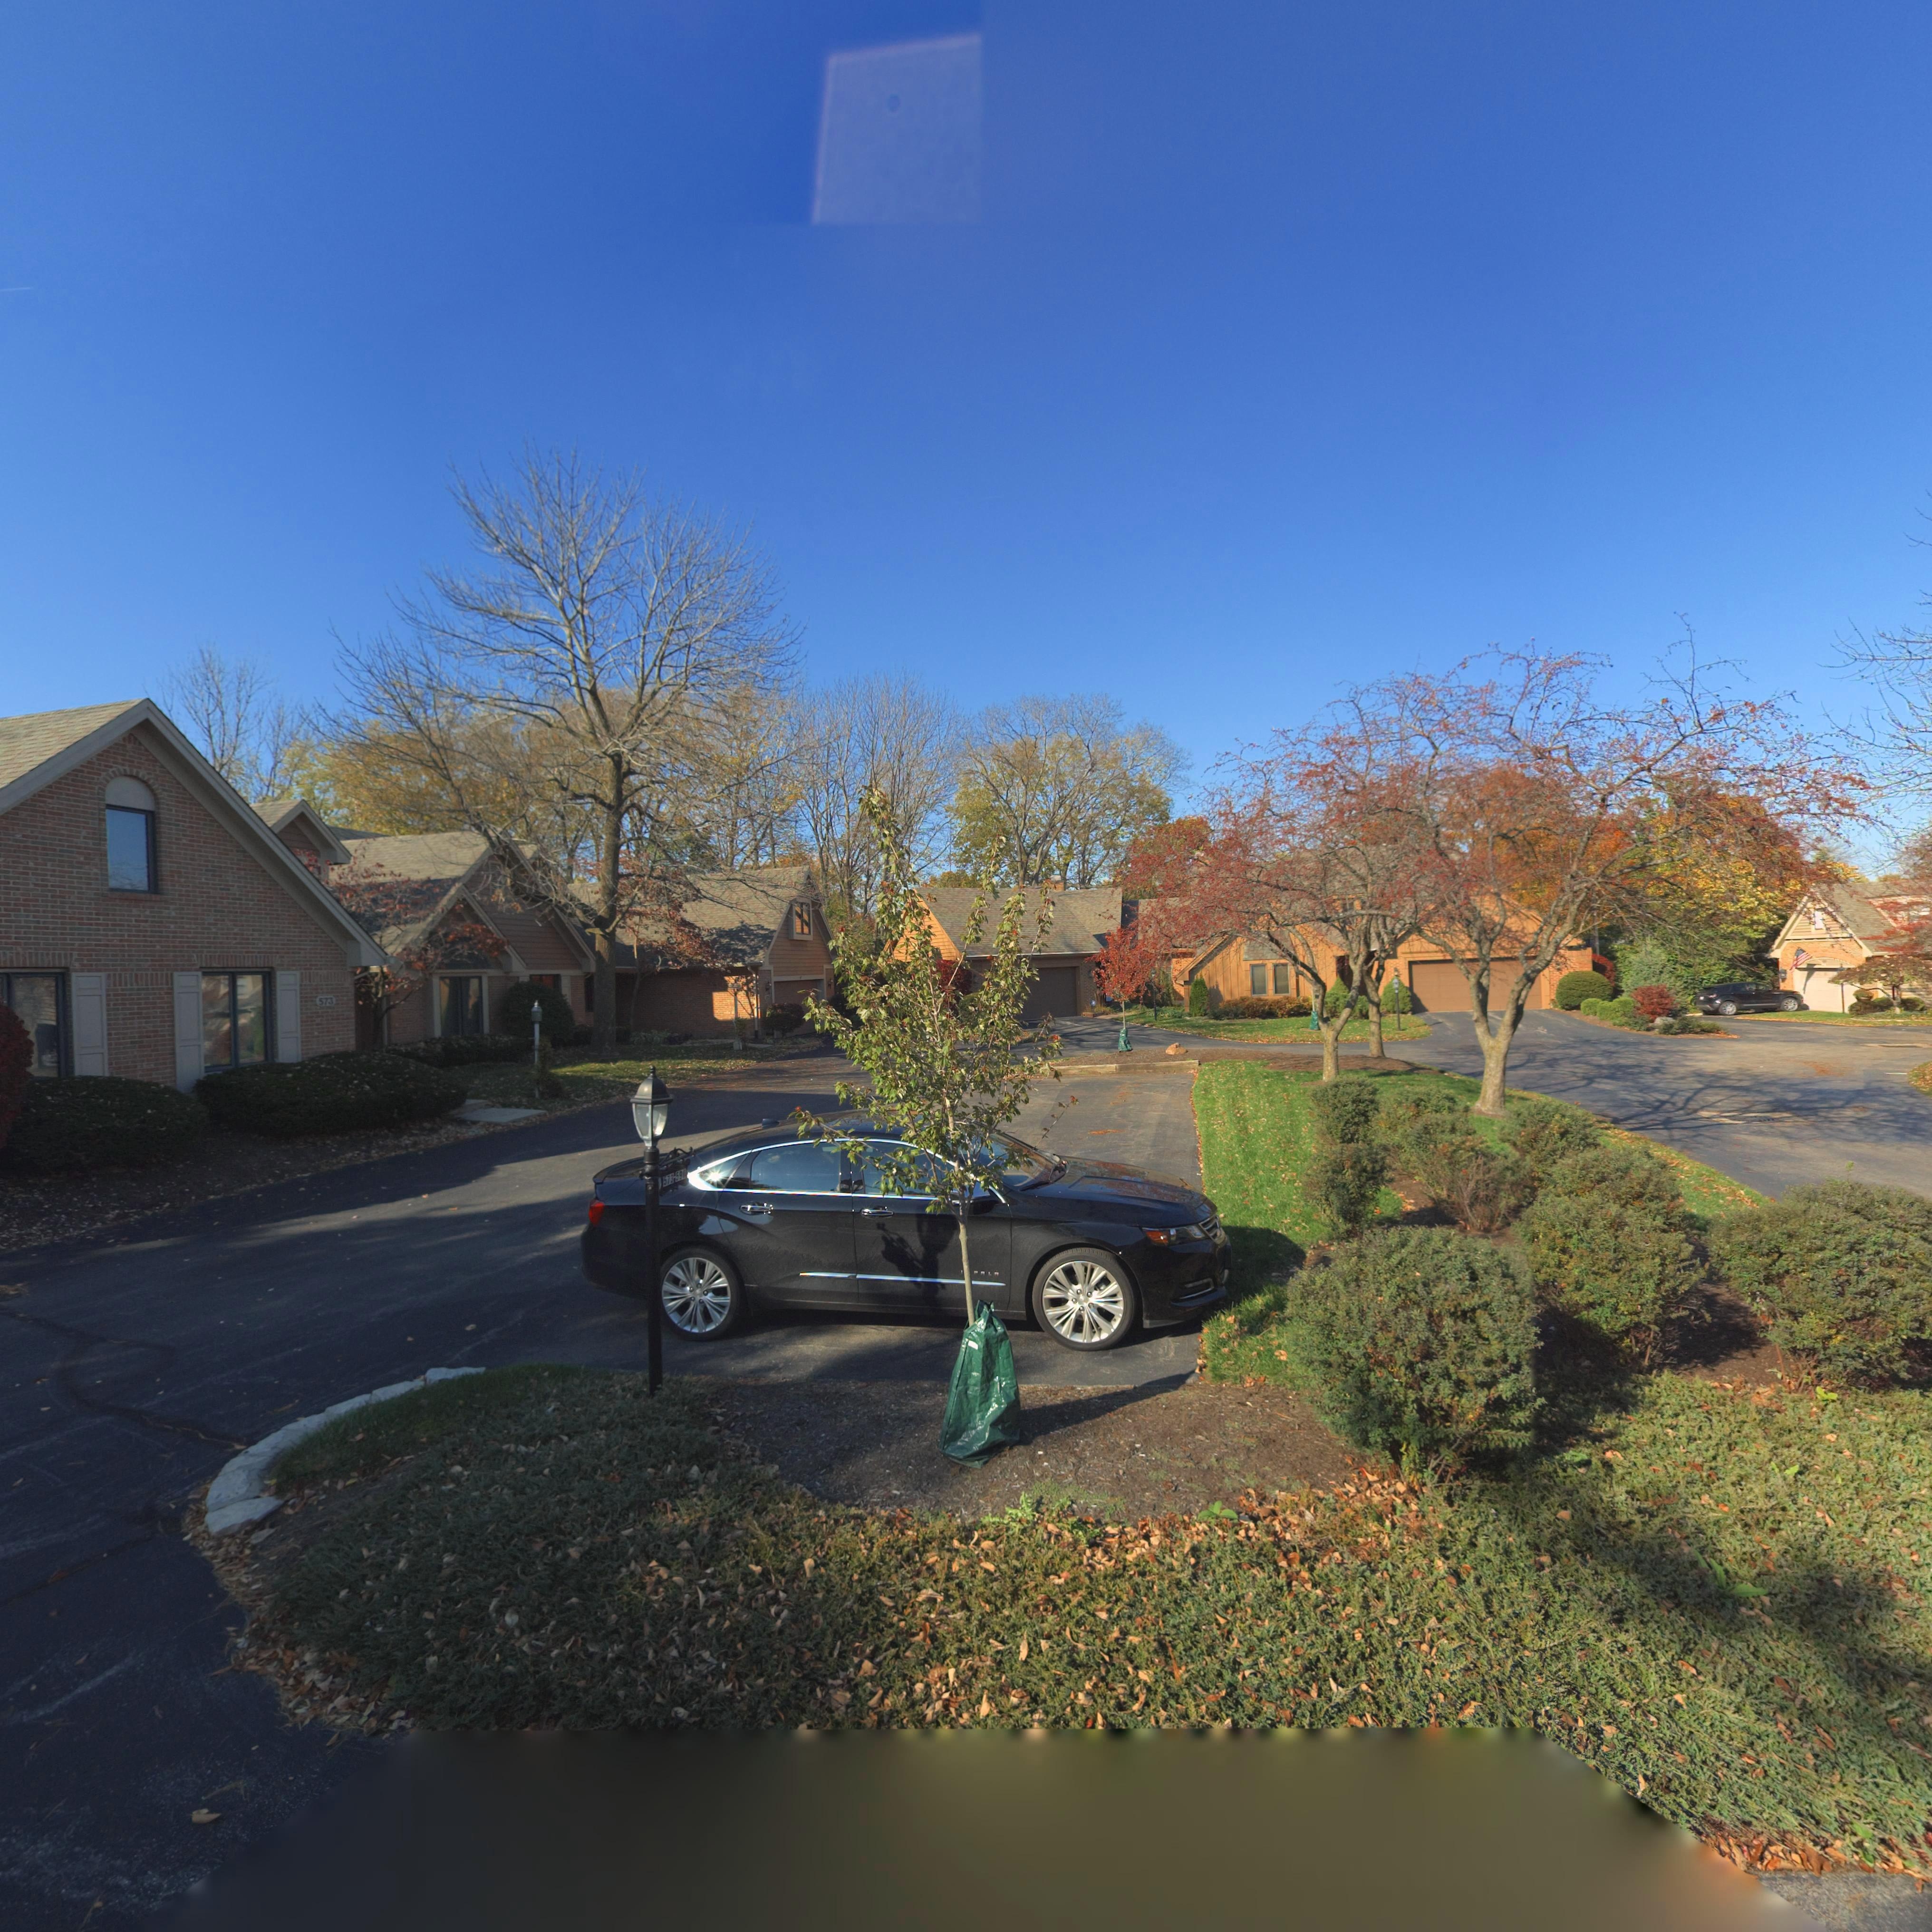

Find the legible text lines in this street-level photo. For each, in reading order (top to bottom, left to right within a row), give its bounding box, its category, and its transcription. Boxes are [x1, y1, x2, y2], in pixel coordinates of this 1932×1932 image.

[319, 996, 333, 1005] StreetNumber: 573
[662, 1172, 675, 1188] StreetNumber: 573
[676, 1169, 687, 1182] StreetNumber: 590